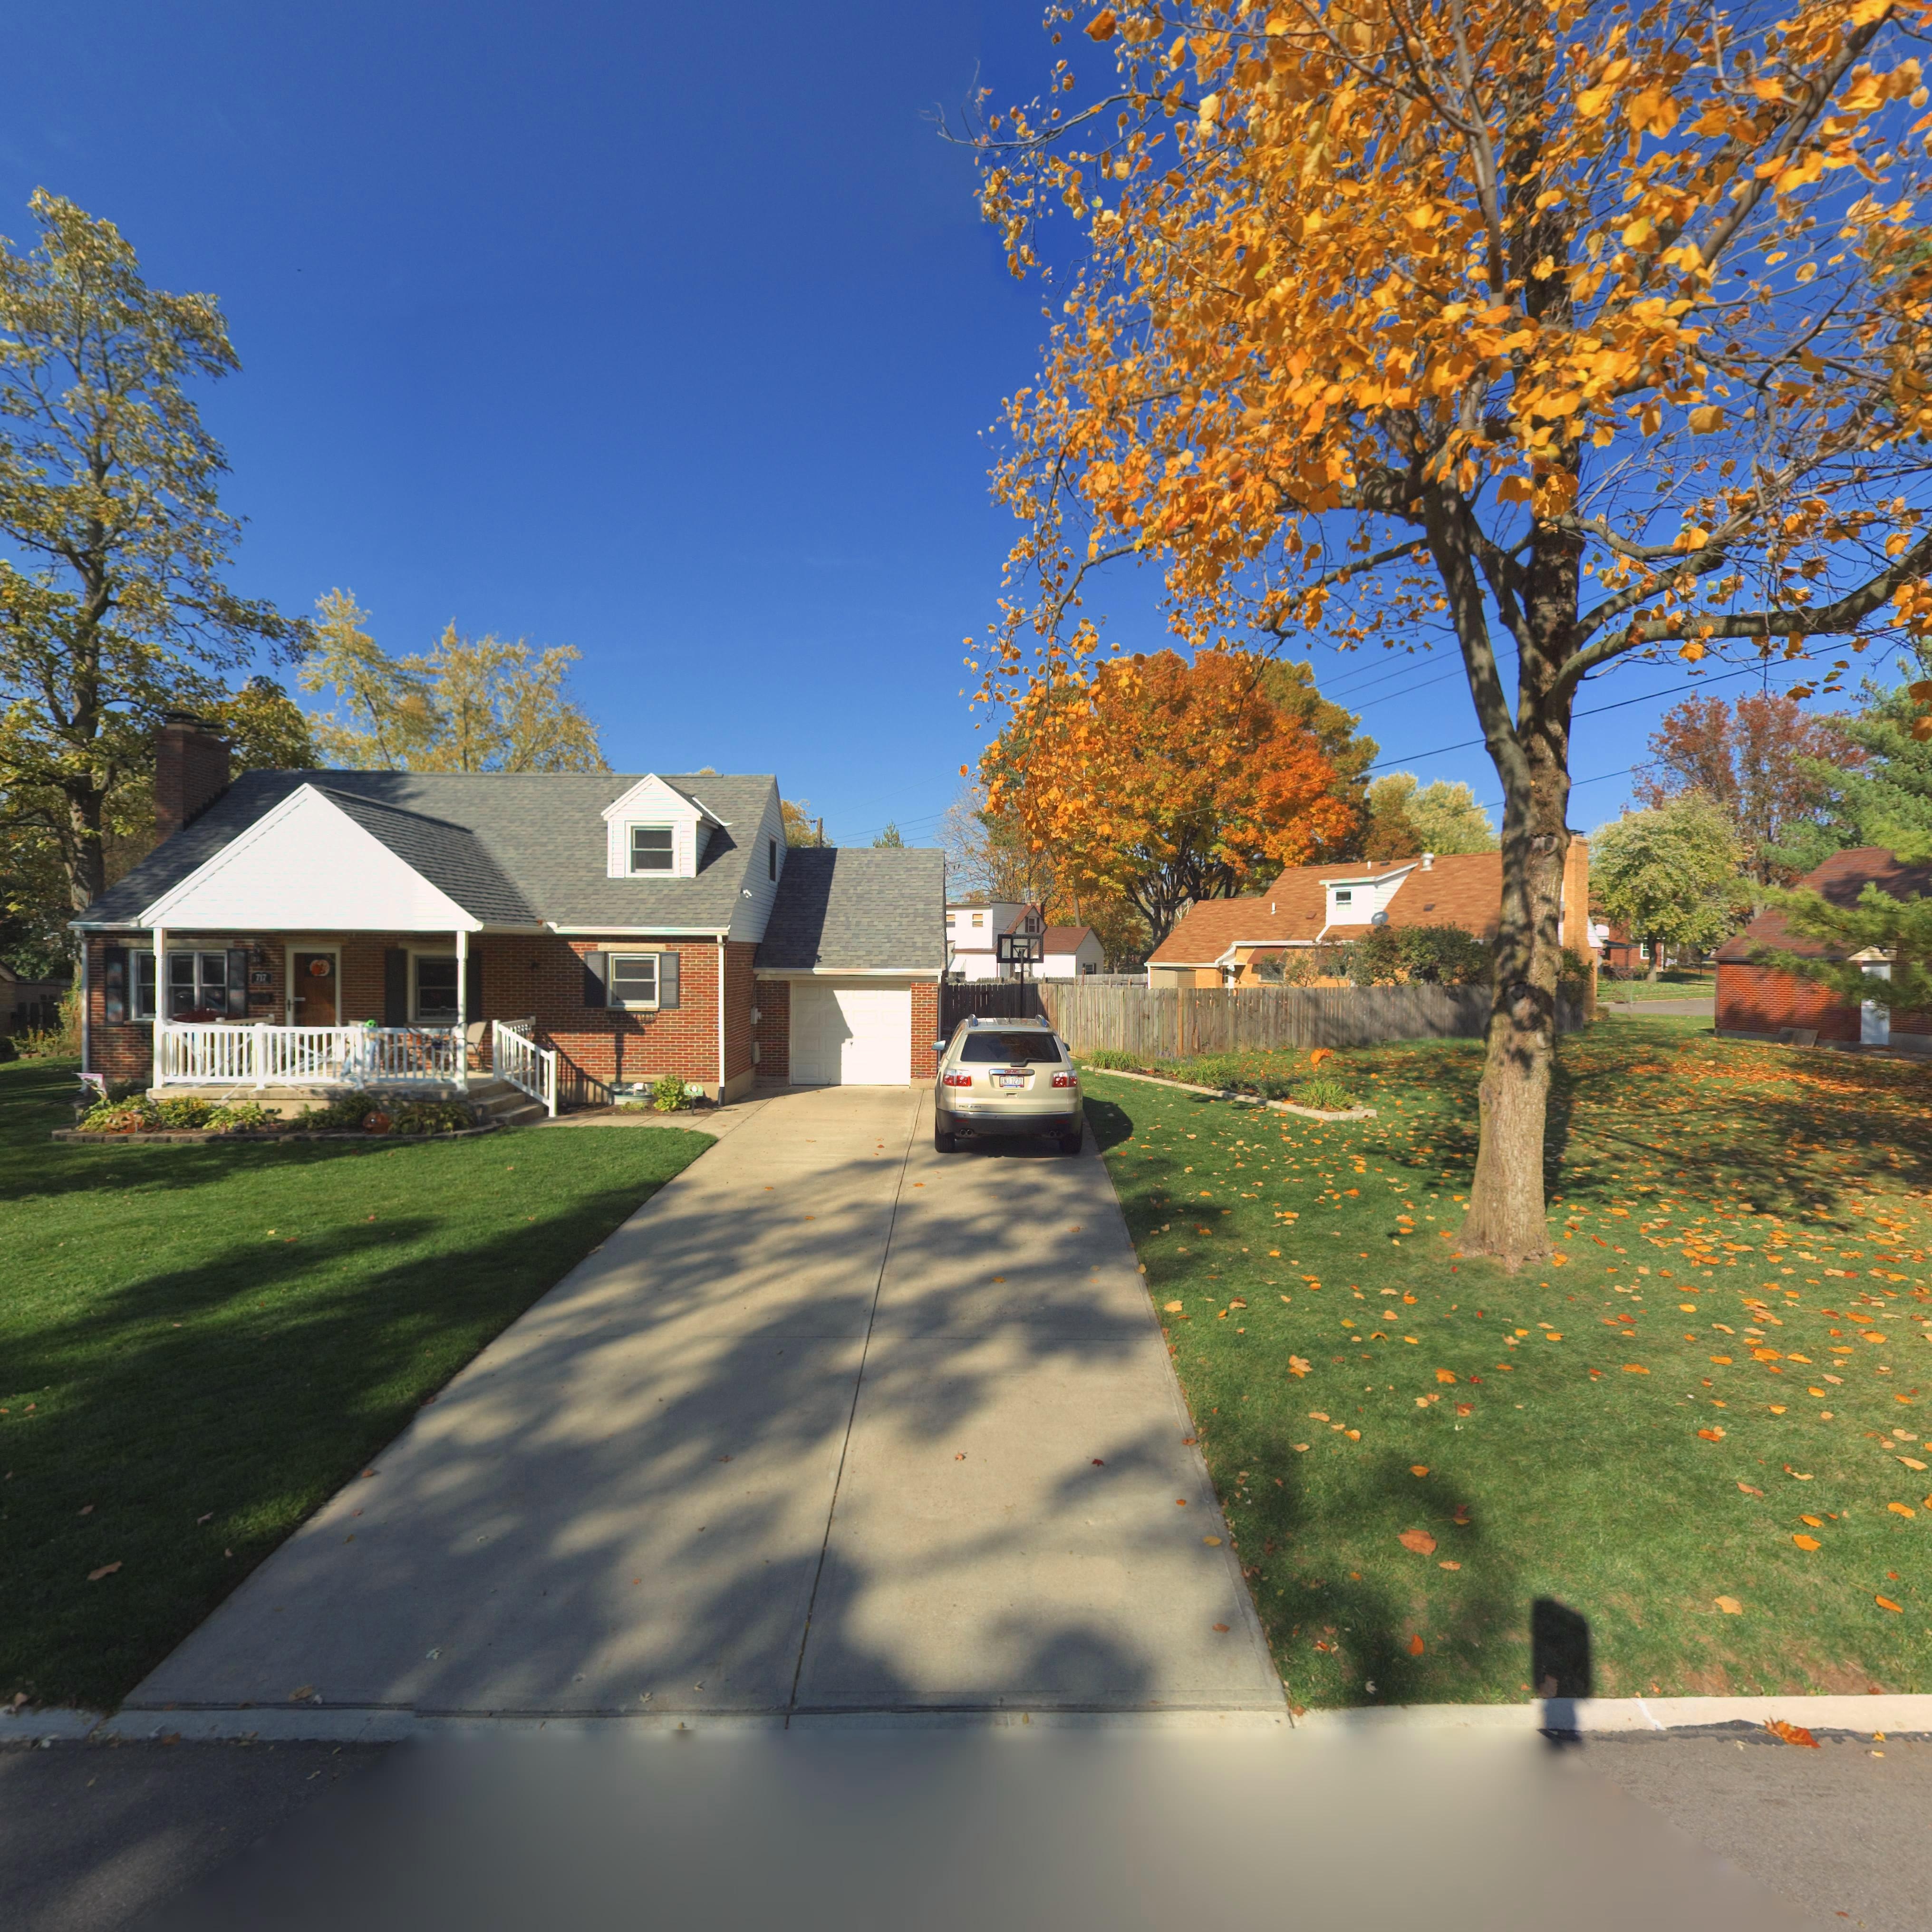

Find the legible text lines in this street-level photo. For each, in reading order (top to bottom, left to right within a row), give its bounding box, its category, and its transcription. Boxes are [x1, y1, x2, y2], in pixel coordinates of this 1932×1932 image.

[254, 973, 268, 982] StreetNumber: 717